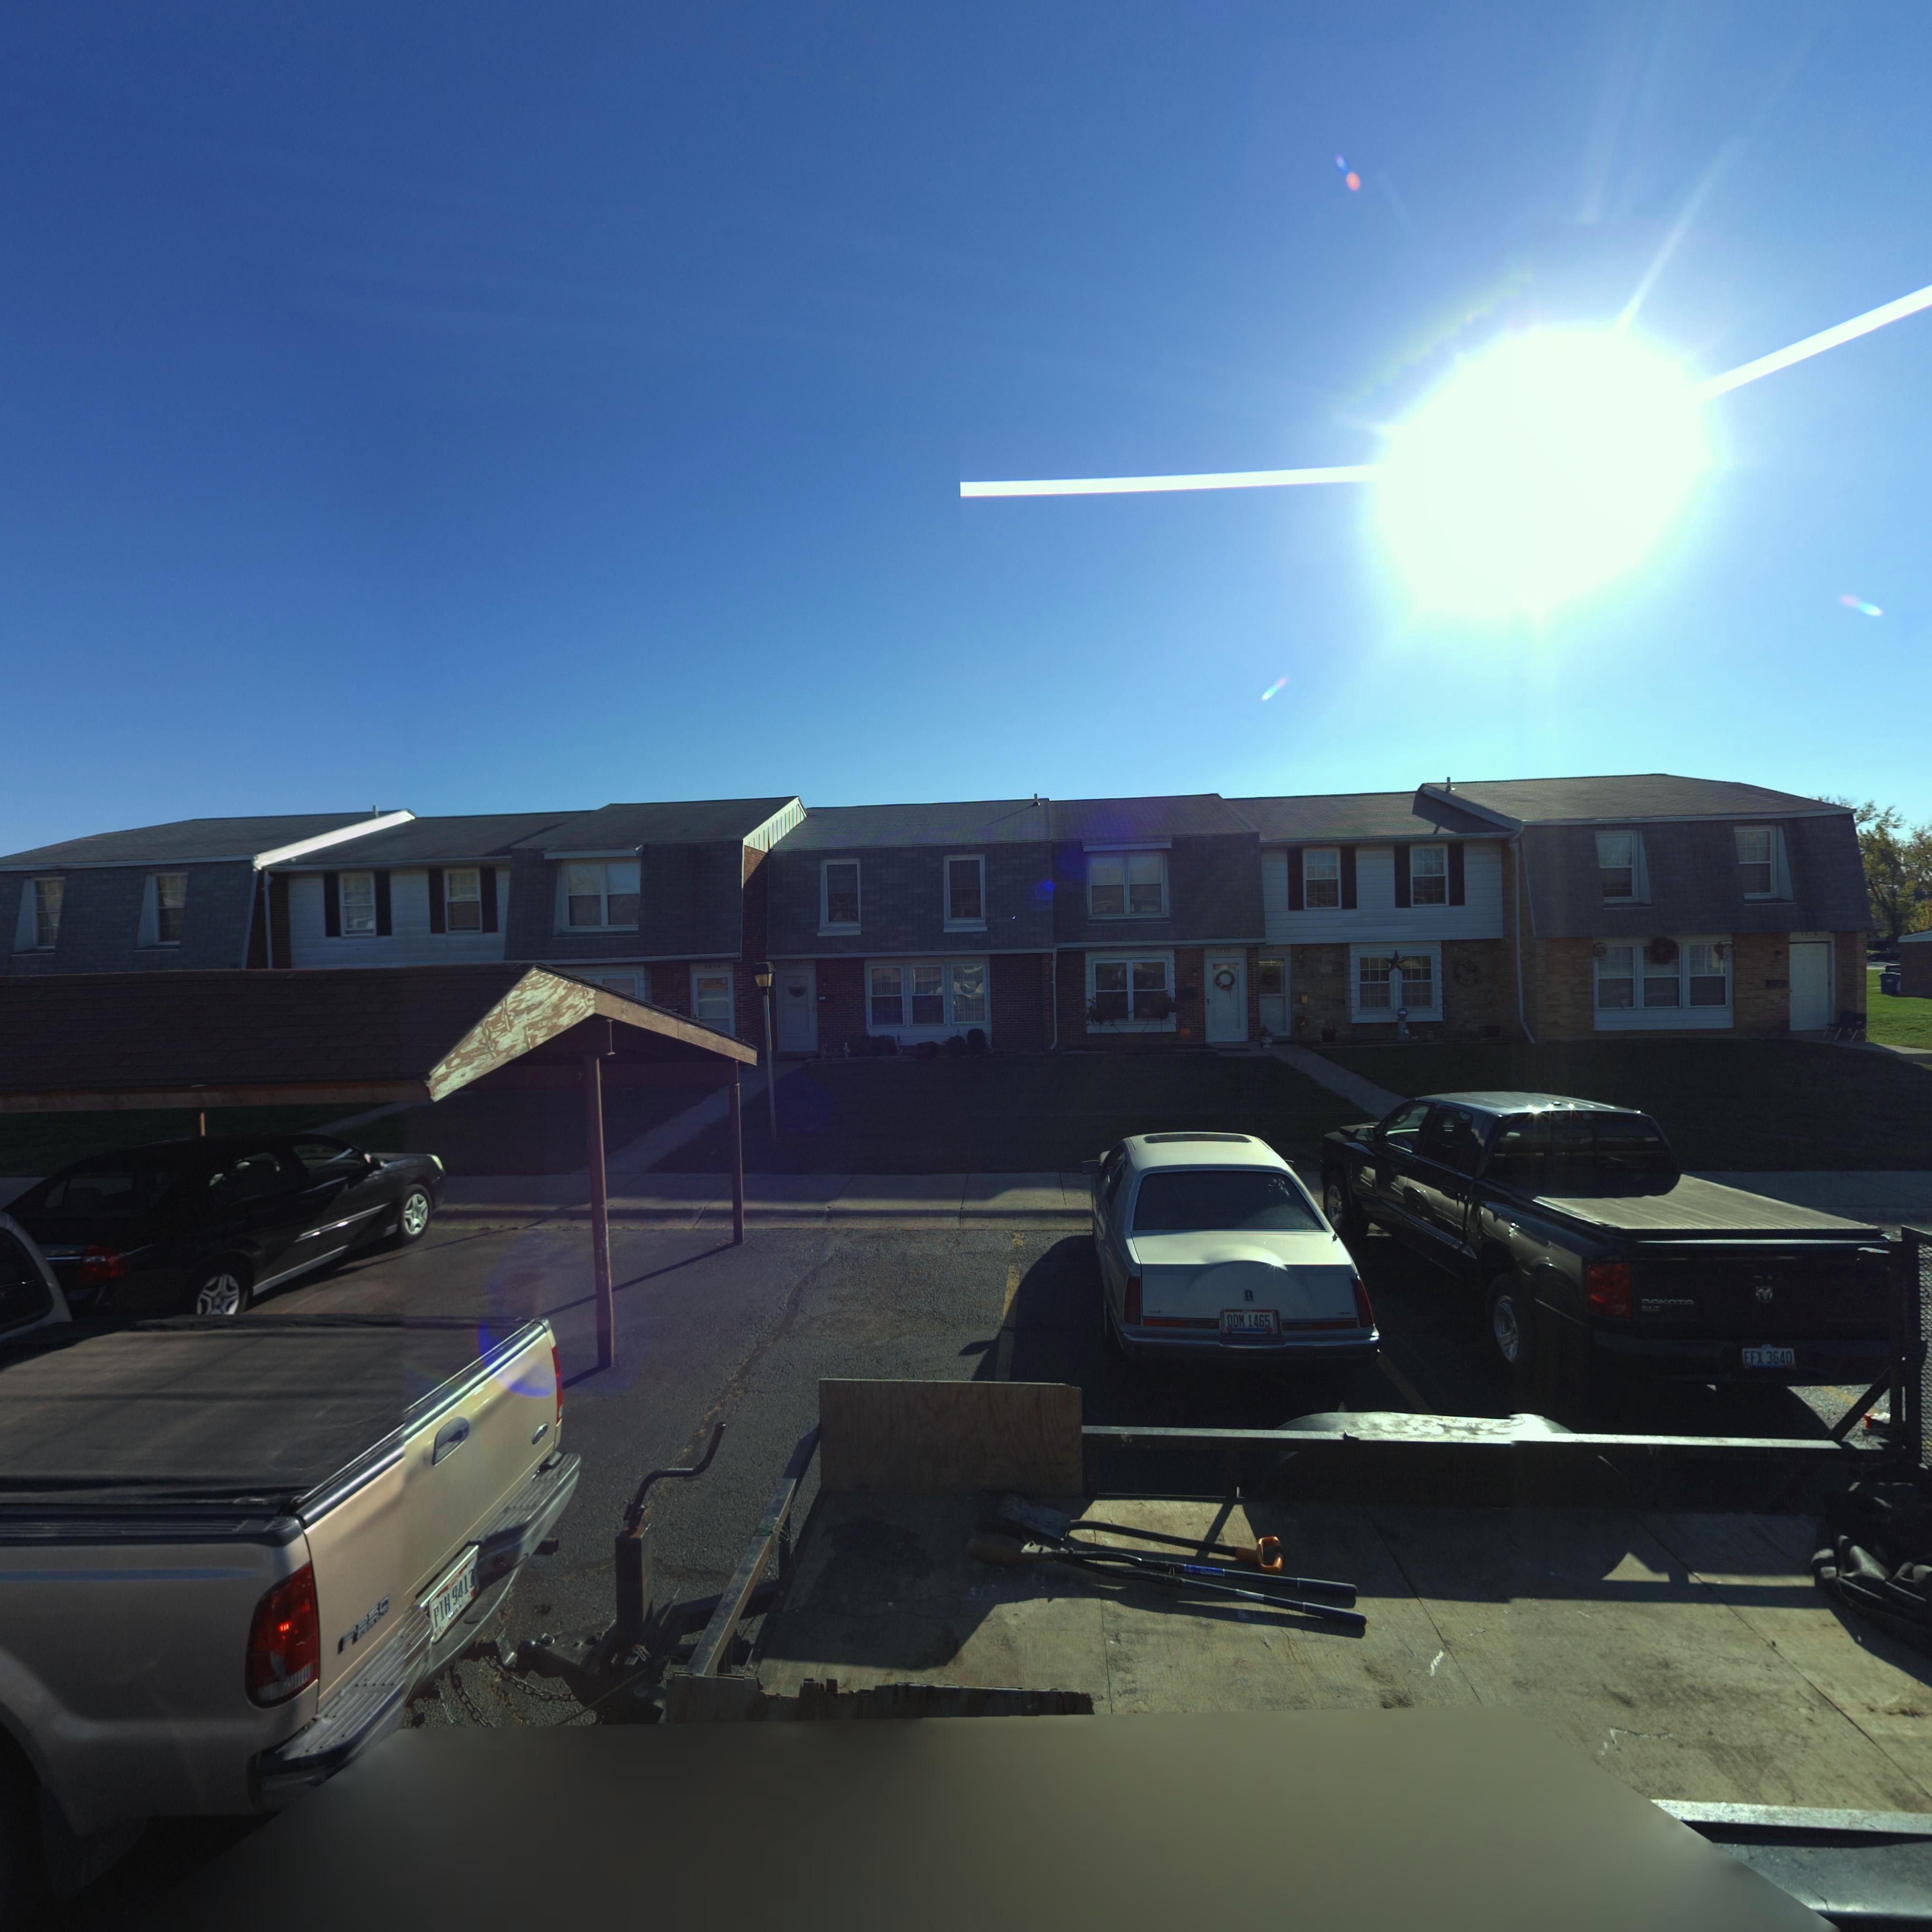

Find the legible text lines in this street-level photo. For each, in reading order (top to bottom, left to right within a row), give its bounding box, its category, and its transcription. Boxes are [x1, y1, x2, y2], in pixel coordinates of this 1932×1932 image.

[1800, 931, 1819, 937] StreetNumber: 75*6
[1215, 947, 1231, 953] StreetNumber: 7520
[1261, 945, 1275, 951] StreetNumber: 751*
[787, 959, 803, 965] StreetNumber: 7522
[704, 963, 722, 969] StreetNumber: 7524